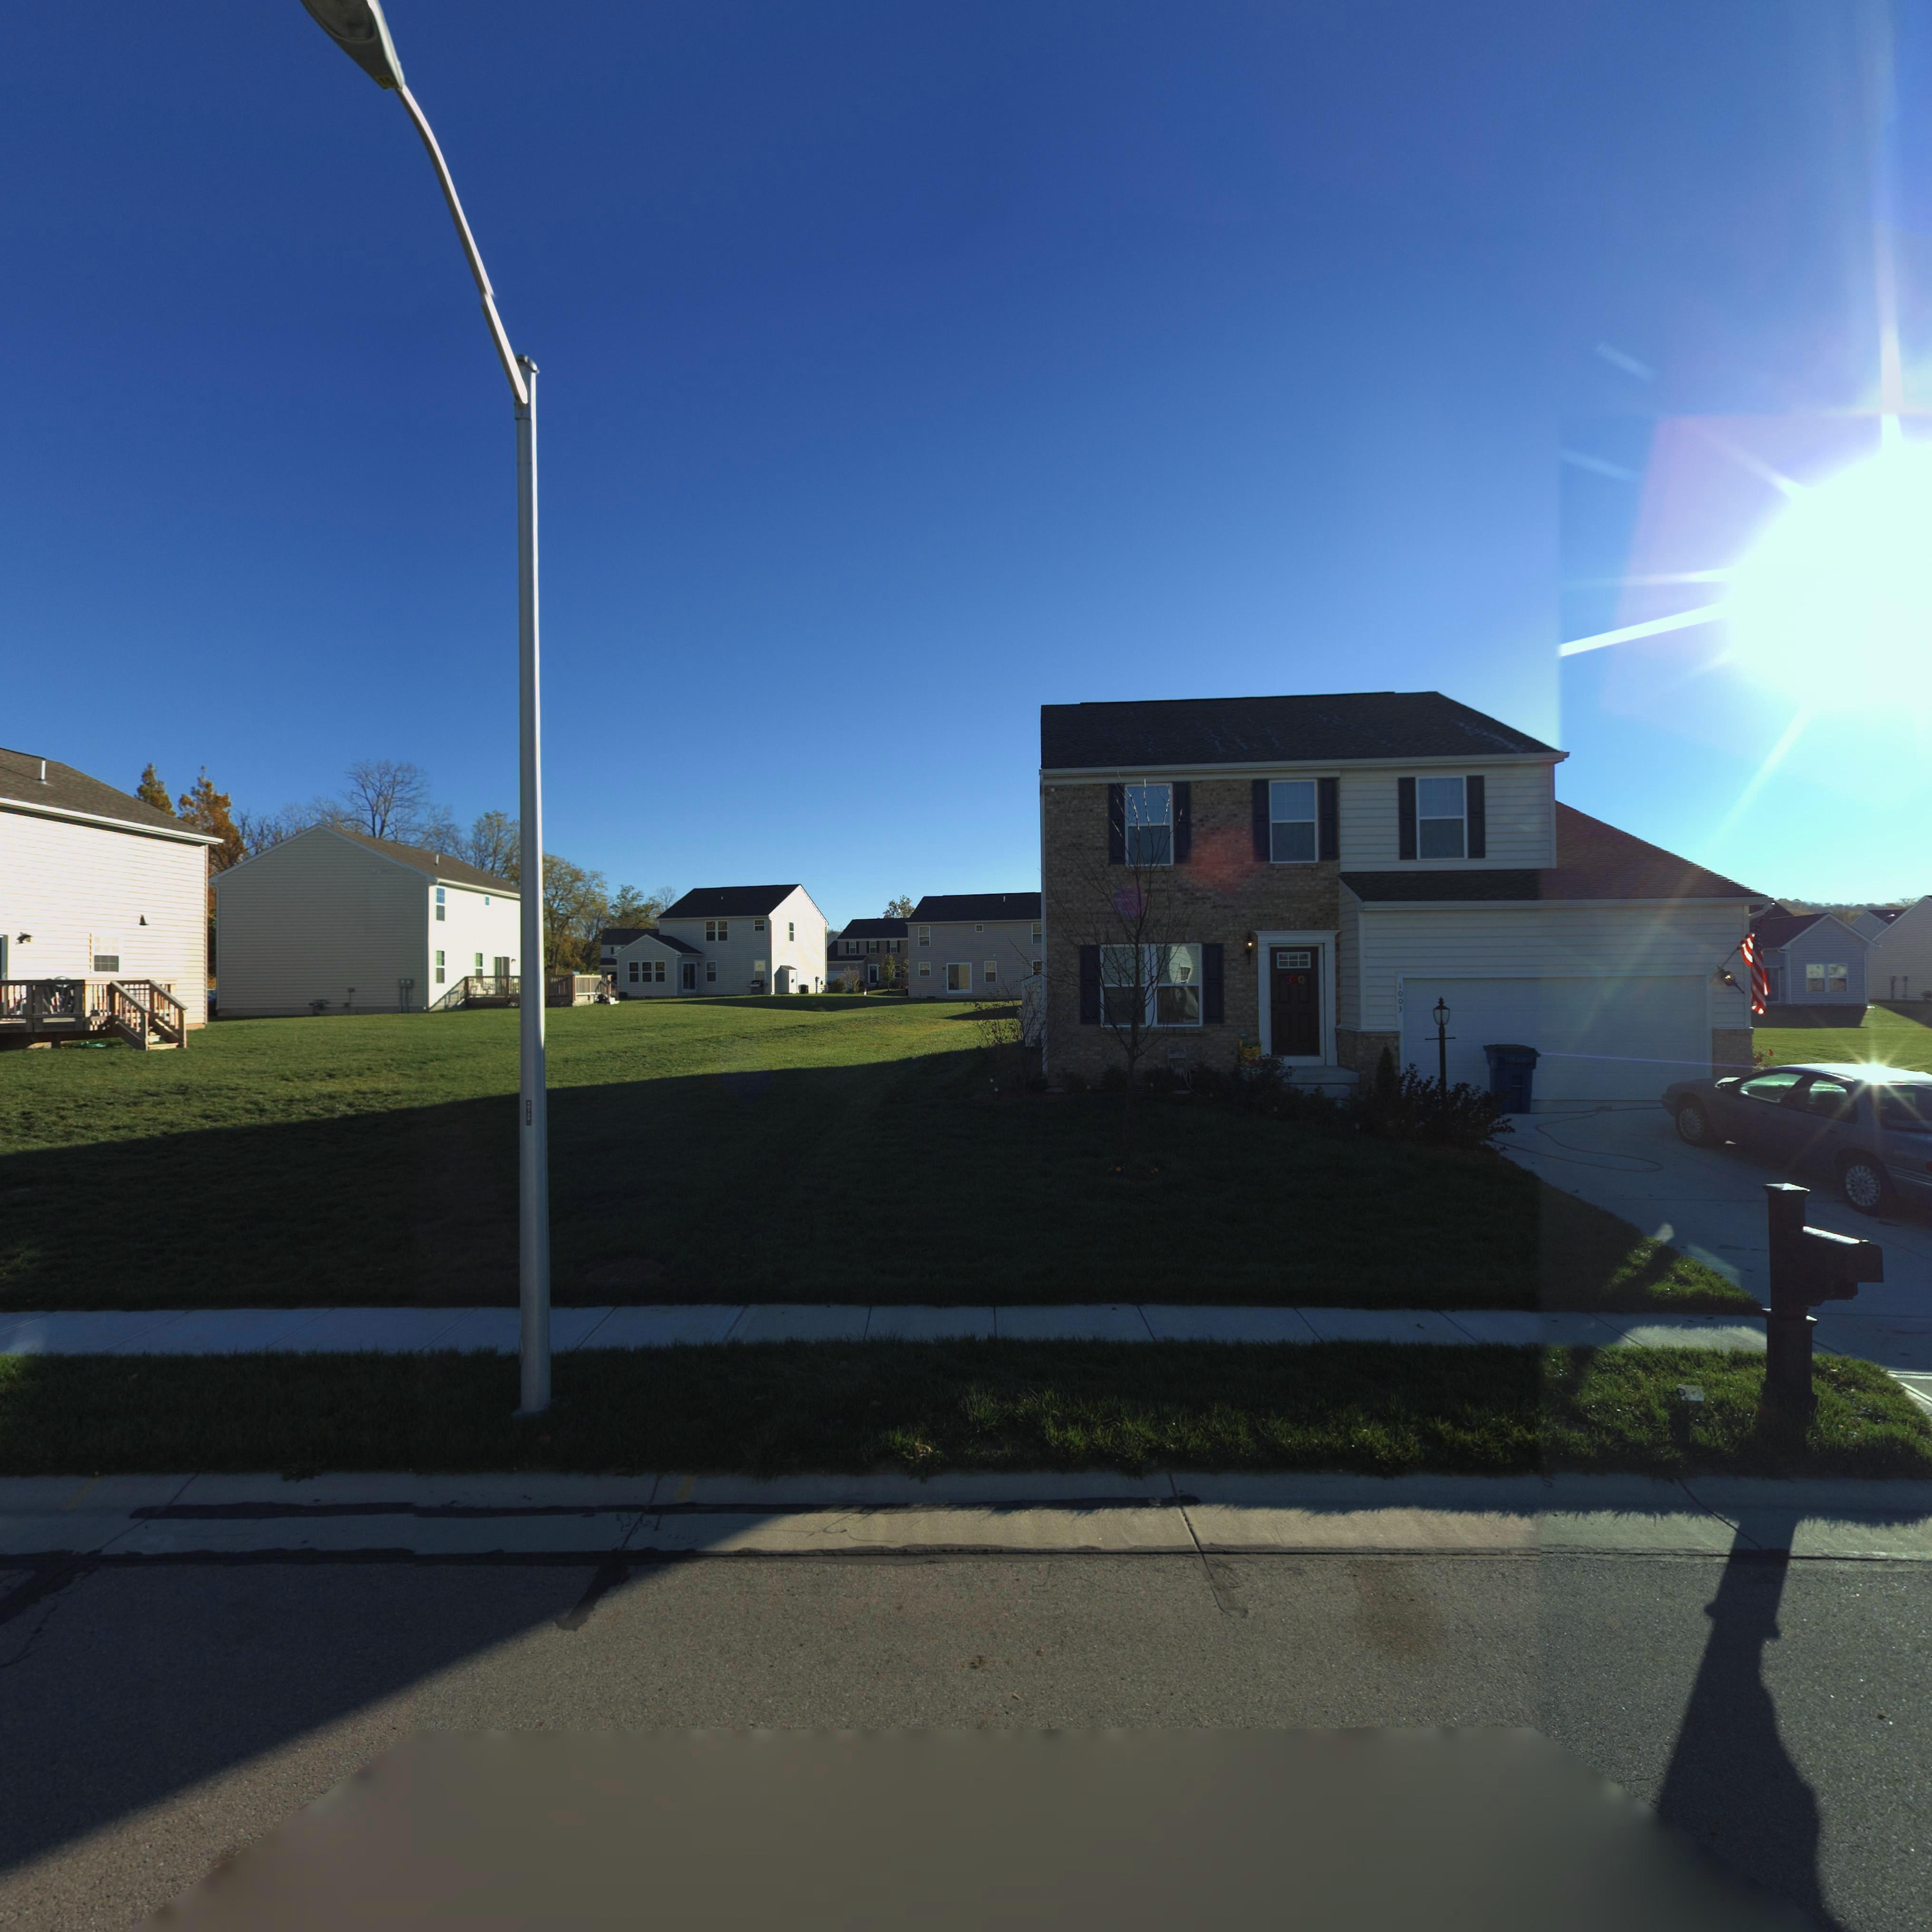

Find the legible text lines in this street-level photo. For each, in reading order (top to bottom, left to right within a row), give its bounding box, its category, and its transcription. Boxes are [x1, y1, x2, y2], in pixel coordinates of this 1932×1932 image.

[1397, 982, 1403, 1014] StreetNumber: 1003